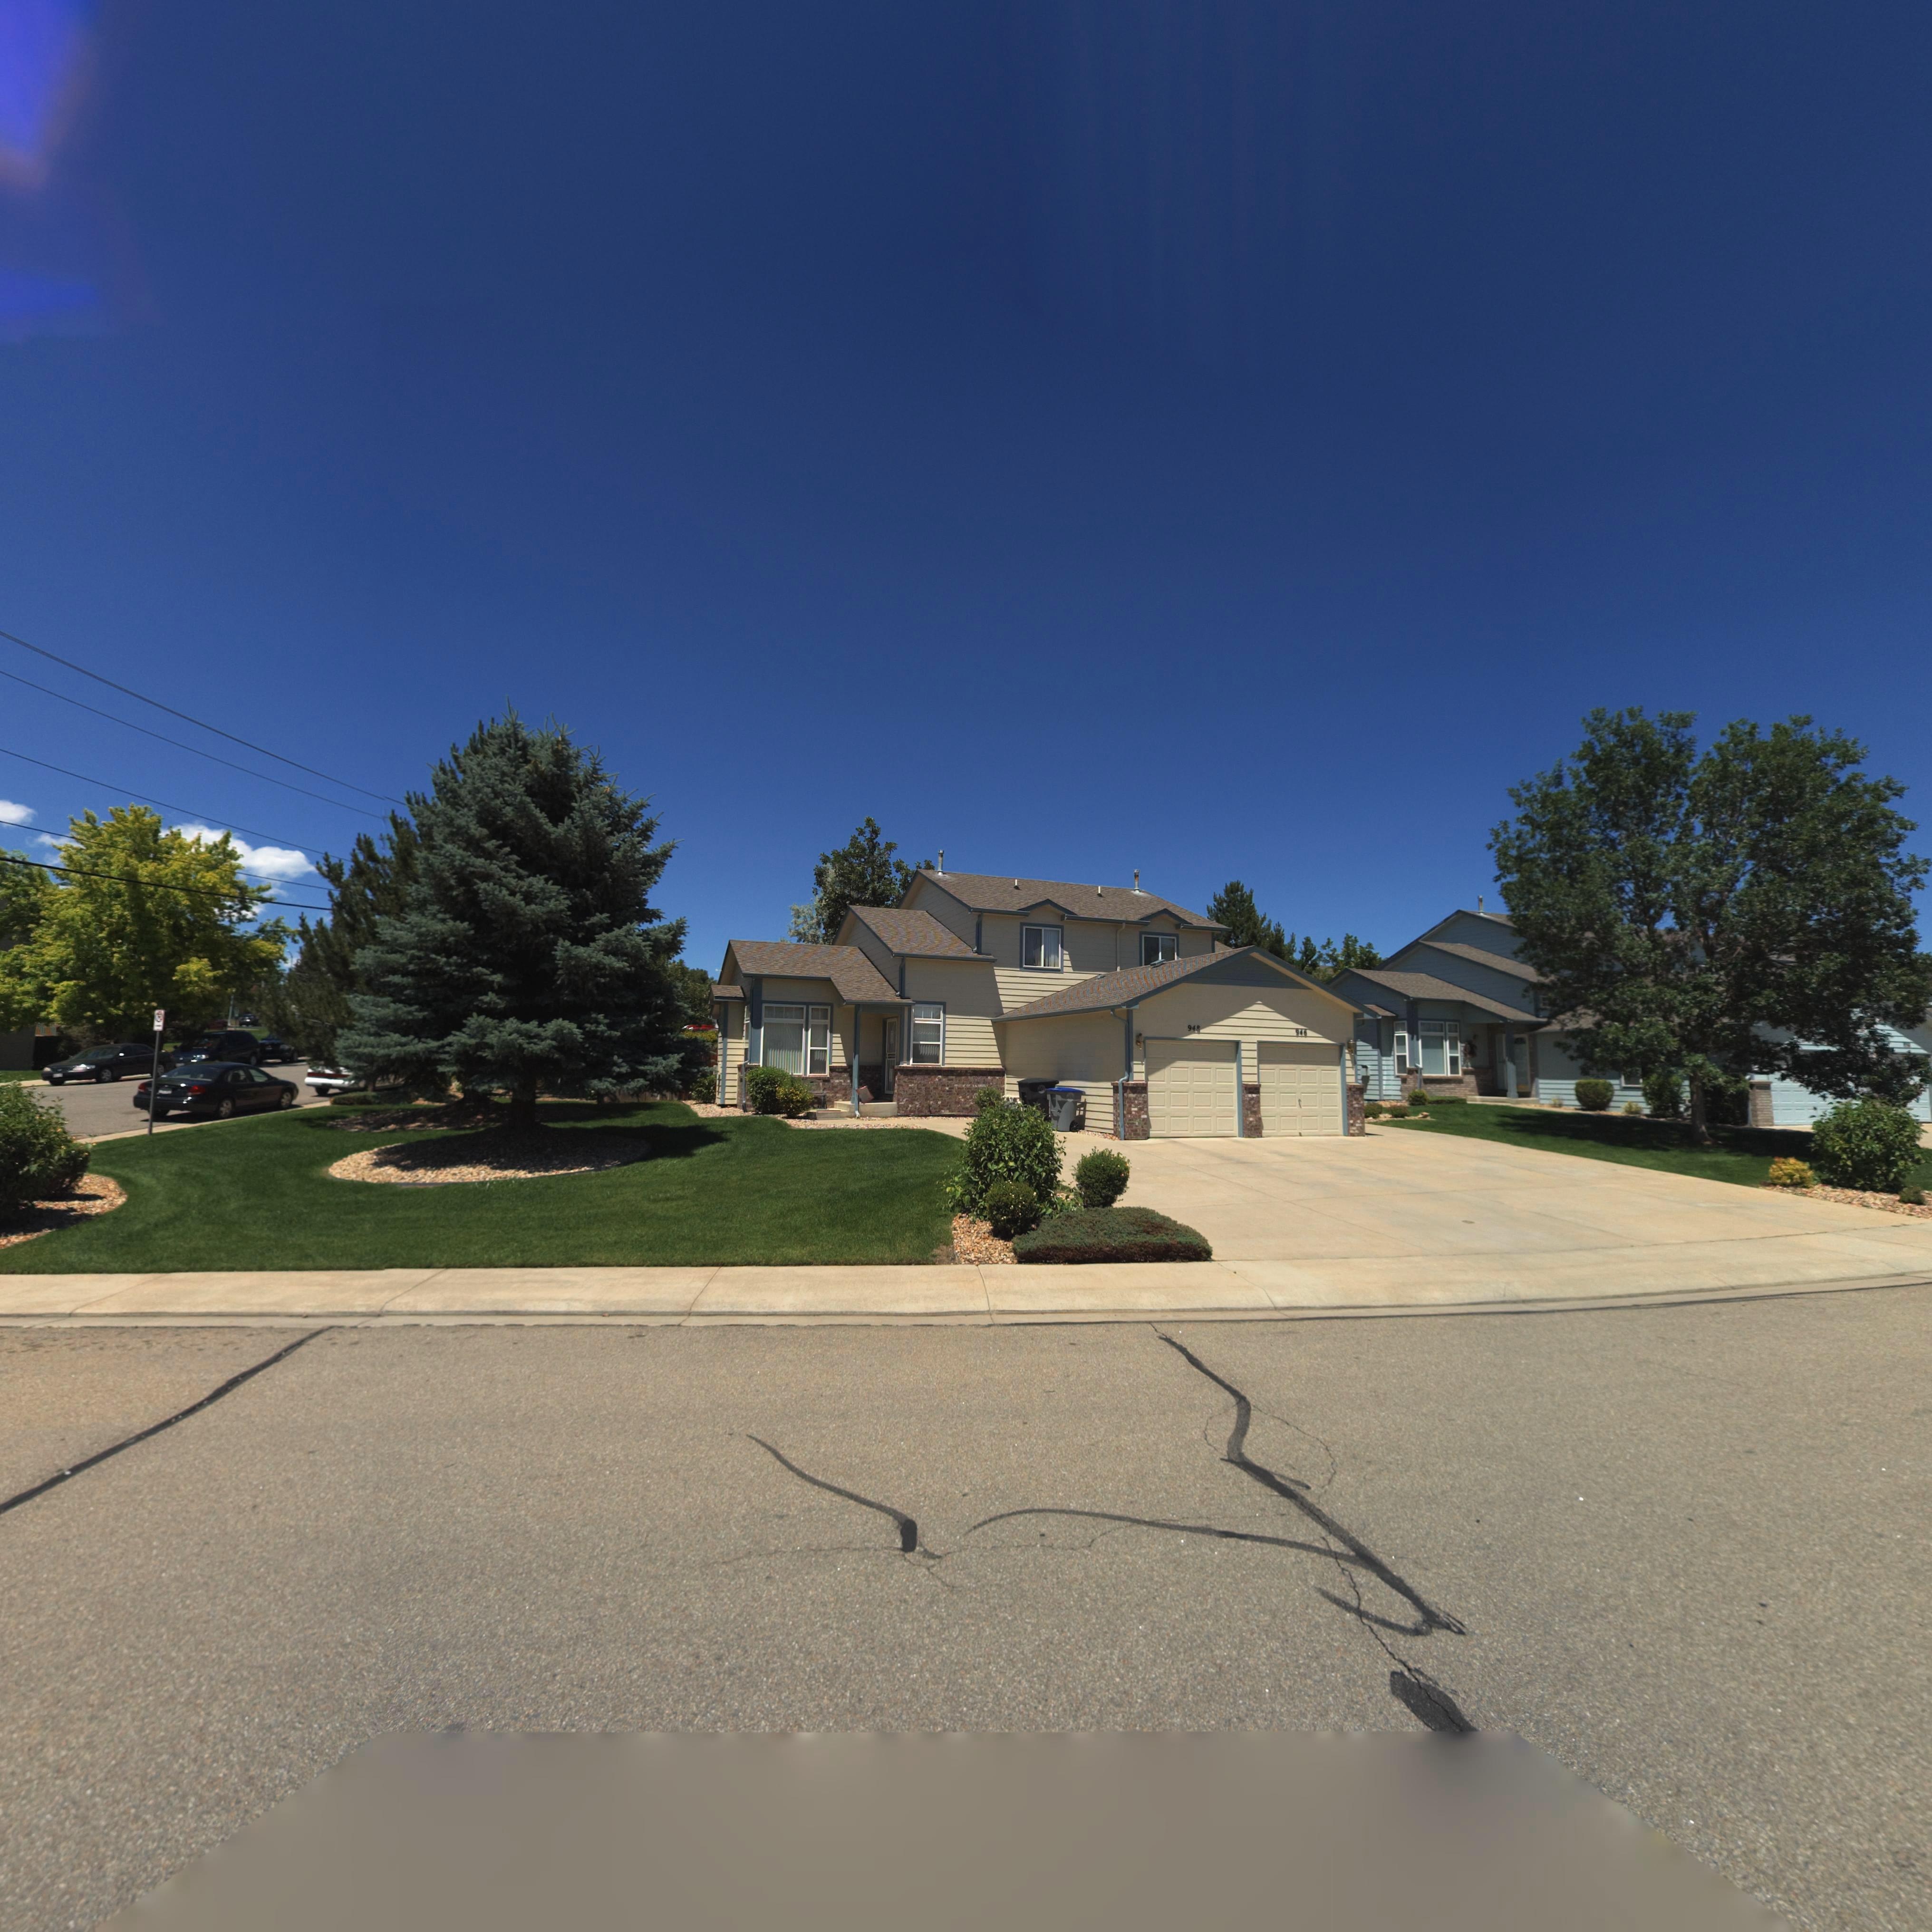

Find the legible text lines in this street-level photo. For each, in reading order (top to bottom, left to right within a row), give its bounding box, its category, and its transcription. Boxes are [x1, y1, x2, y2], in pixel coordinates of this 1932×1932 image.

[1186, 1024, 1200, 1033] StreetNumber: 948
[1295, 1028, 1307, 1036] StreetNumber: 946